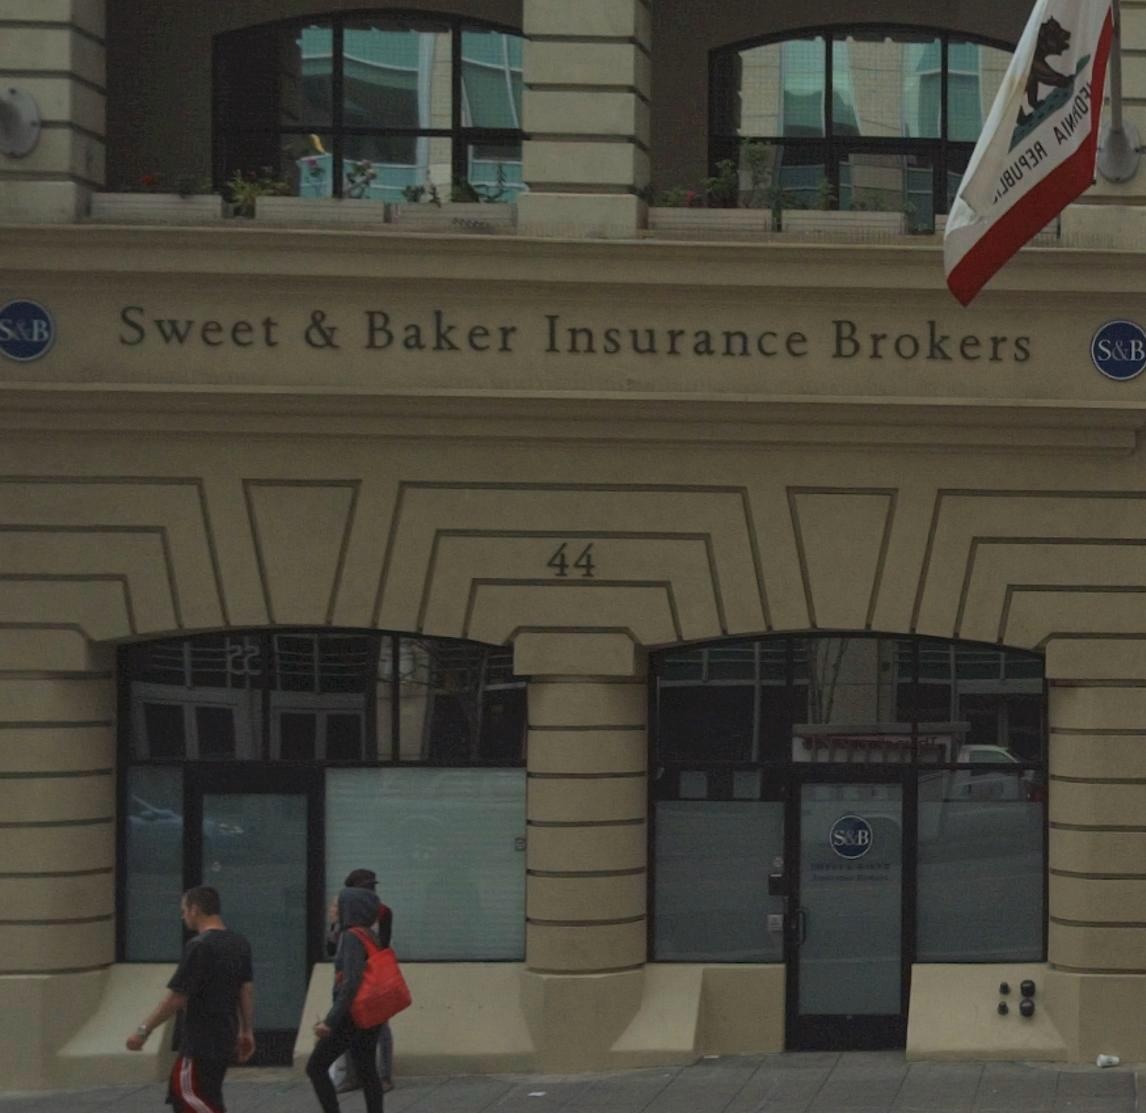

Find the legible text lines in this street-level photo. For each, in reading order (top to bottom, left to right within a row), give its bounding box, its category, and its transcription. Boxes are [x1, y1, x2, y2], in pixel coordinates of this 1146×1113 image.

[995, 81, 1095, 200] None: **U*** AI**O*
[0, 316, 52, 345] None: S&B
[114, 301, 1036, 369] BusinessName: Sweet & Baker Insurance Brokers
[1094, 336, 1146, 364] None: S&B
[541, 539, 598, 581] StreetNumber: 44
[831, 827, 872, 848] None: S&B